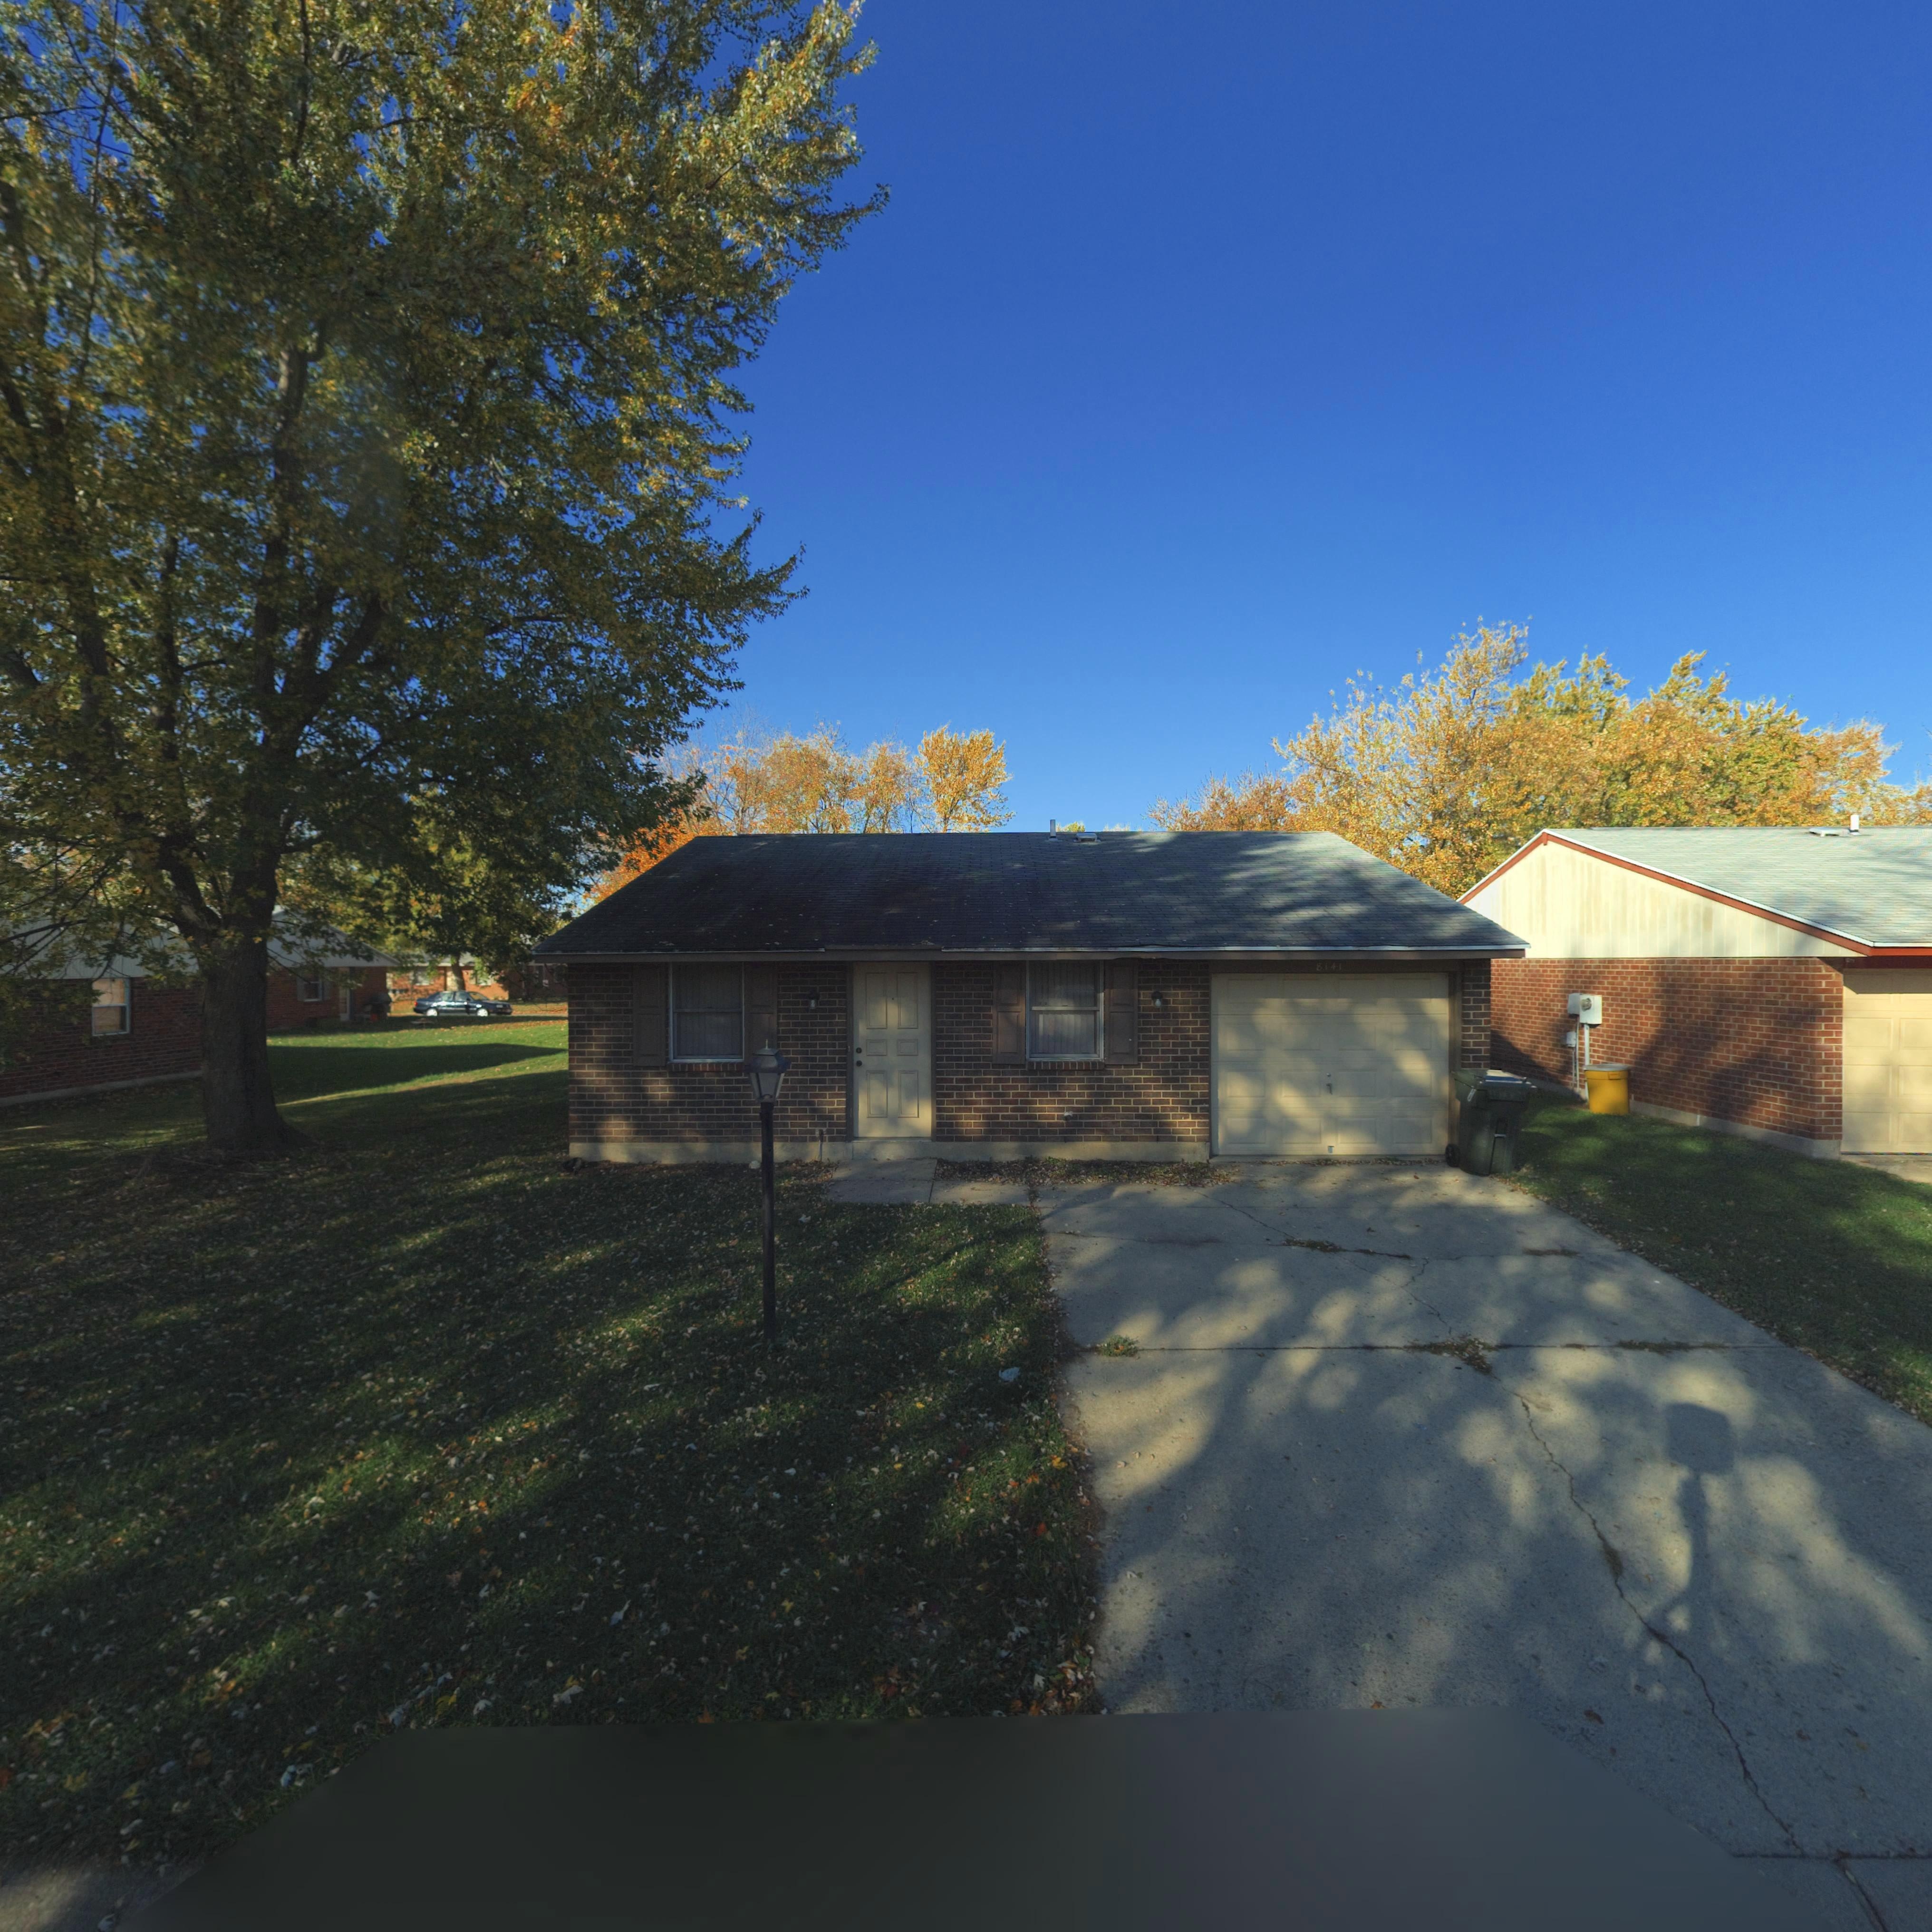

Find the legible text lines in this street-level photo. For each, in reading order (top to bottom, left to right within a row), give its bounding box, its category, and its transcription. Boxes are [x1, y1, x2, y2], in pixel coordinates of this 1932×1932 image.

[1315, 961, 1343, 972] StreetNumber: 8141